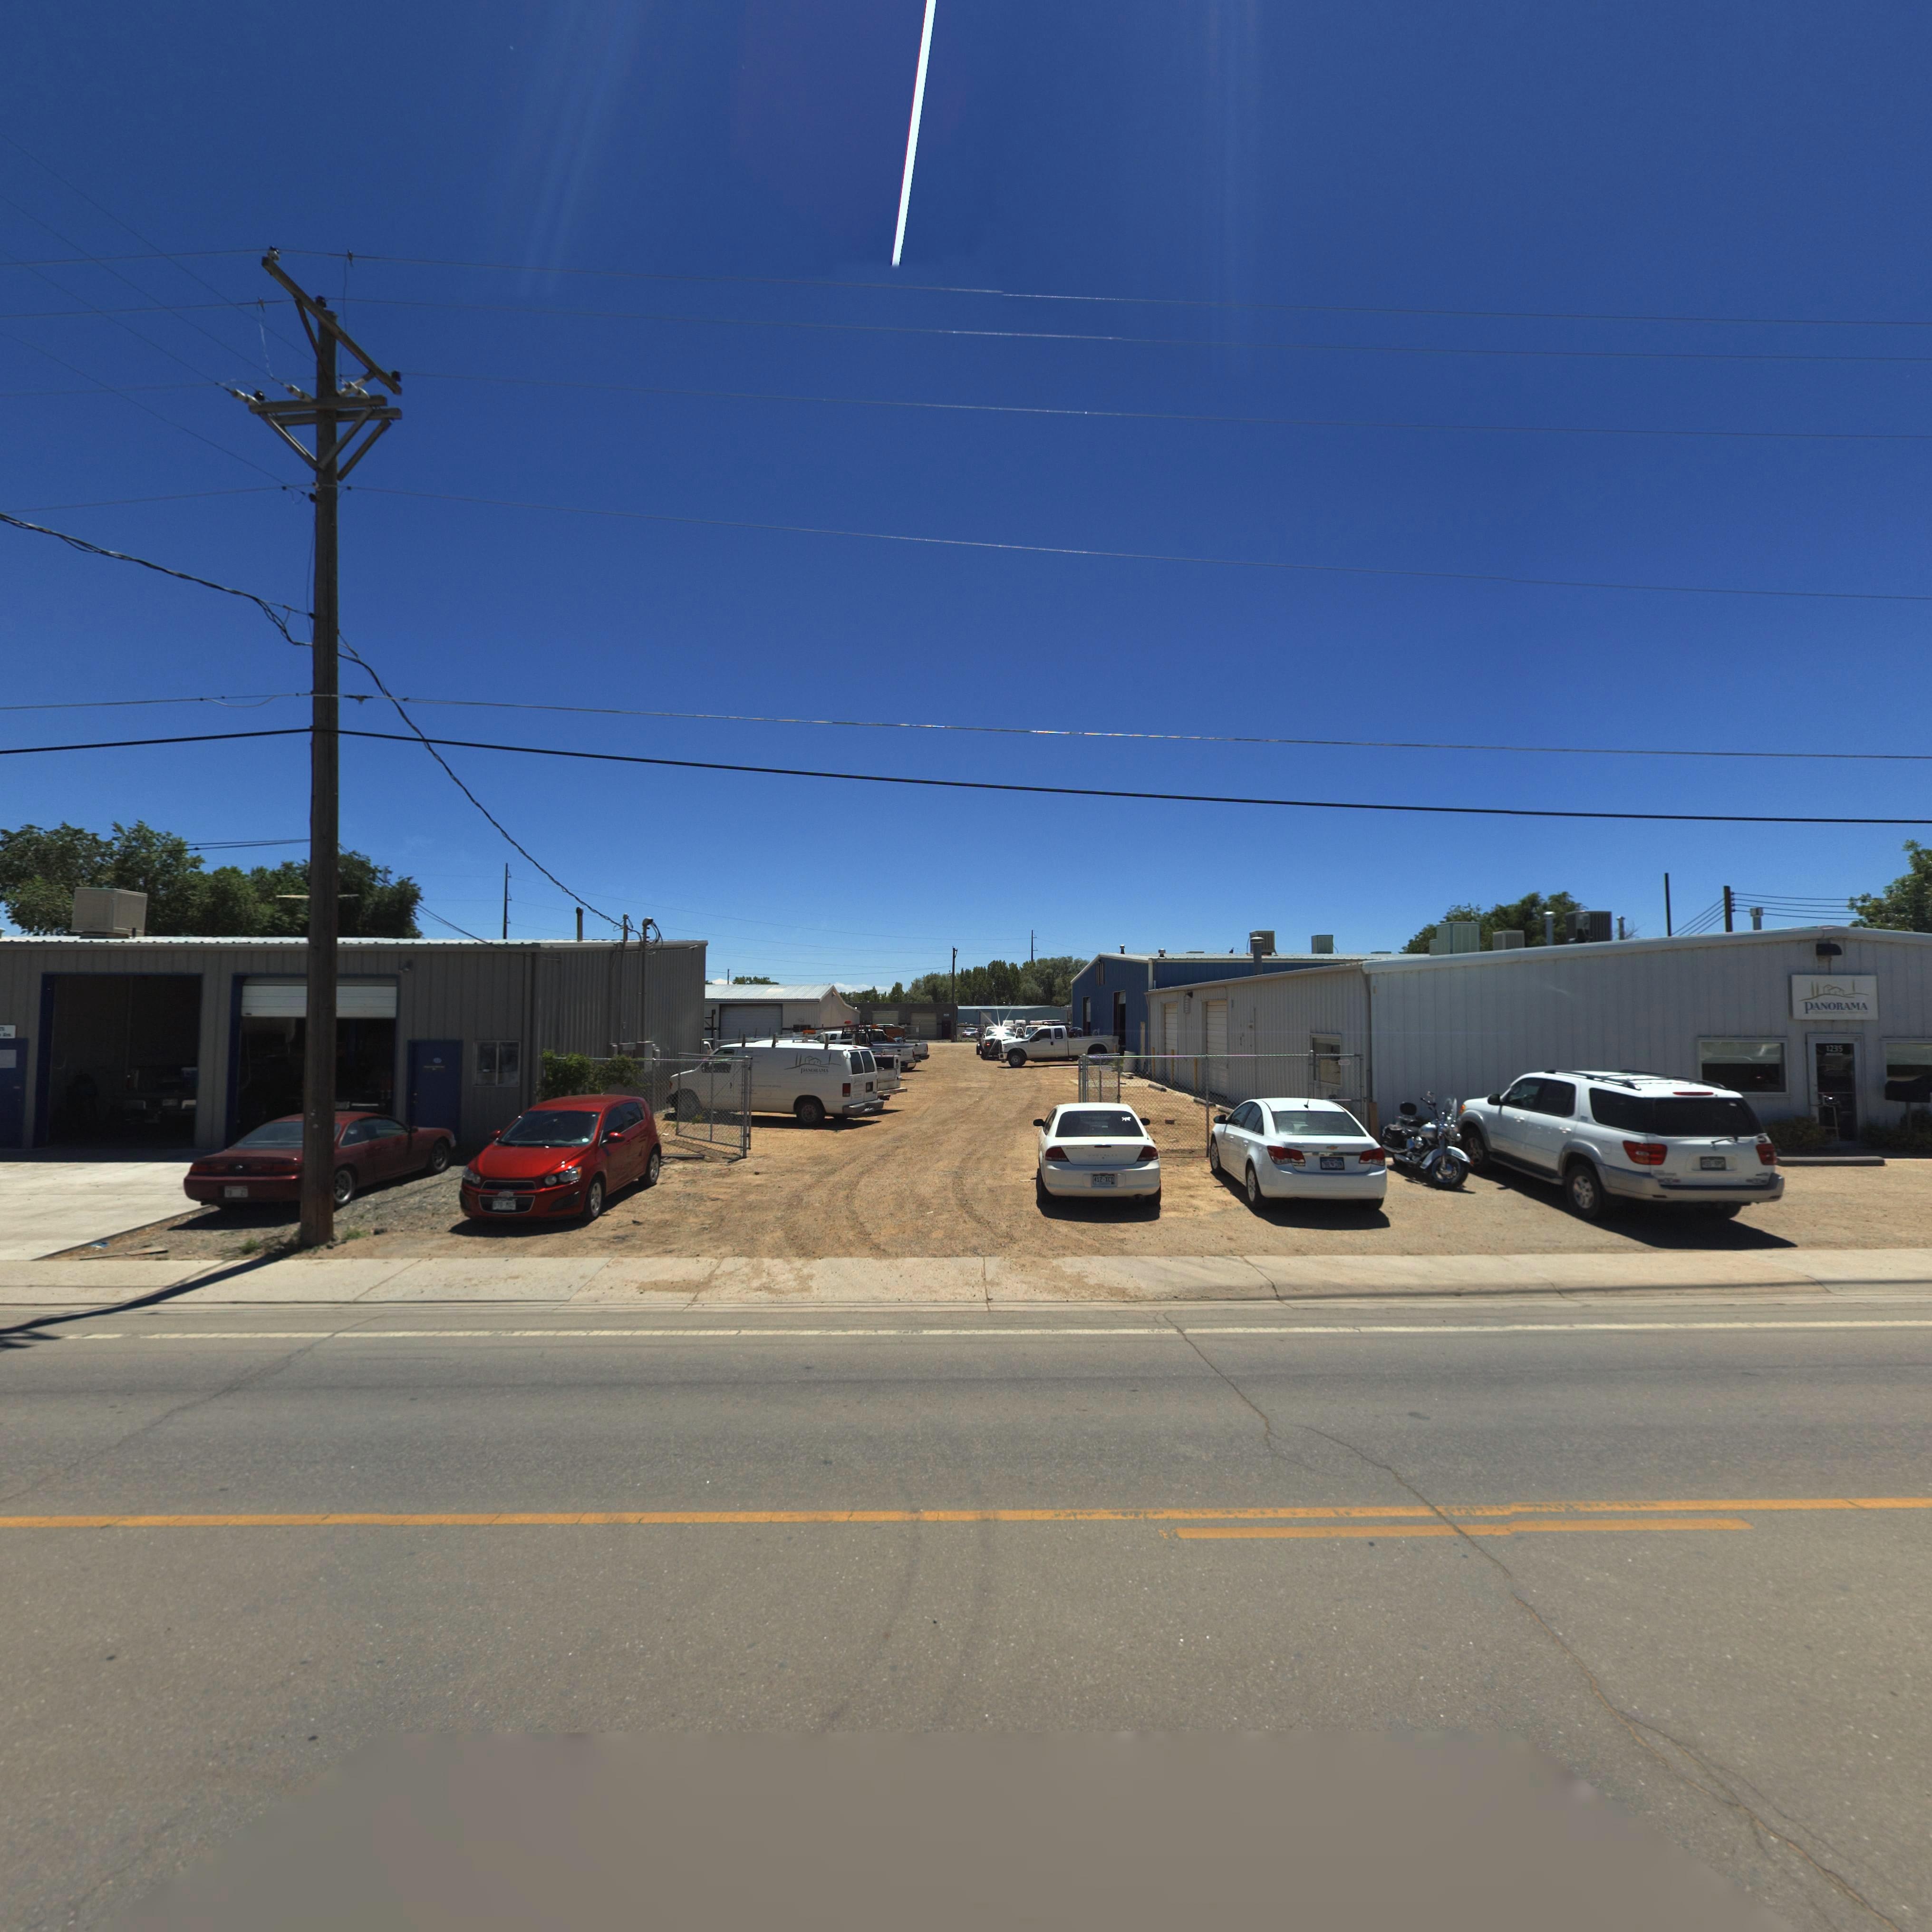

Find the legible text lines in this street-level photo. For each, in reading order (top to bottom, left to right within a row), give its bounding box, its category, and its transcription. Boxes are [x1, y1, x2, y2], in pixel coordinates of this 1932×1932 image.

[1805, 1001, 1868, 1014] BusinessName: PANORAMA
[1811, 1010, 1868, 1014] BusinessName: COO*******D ******ES
[3, 1032, 11, 1036] StreetName: Ave
[1826, 1045, 1843, 1052] StreetNumber: 1235
[1825, 1052, 1843, 1056] StreetName: Boston